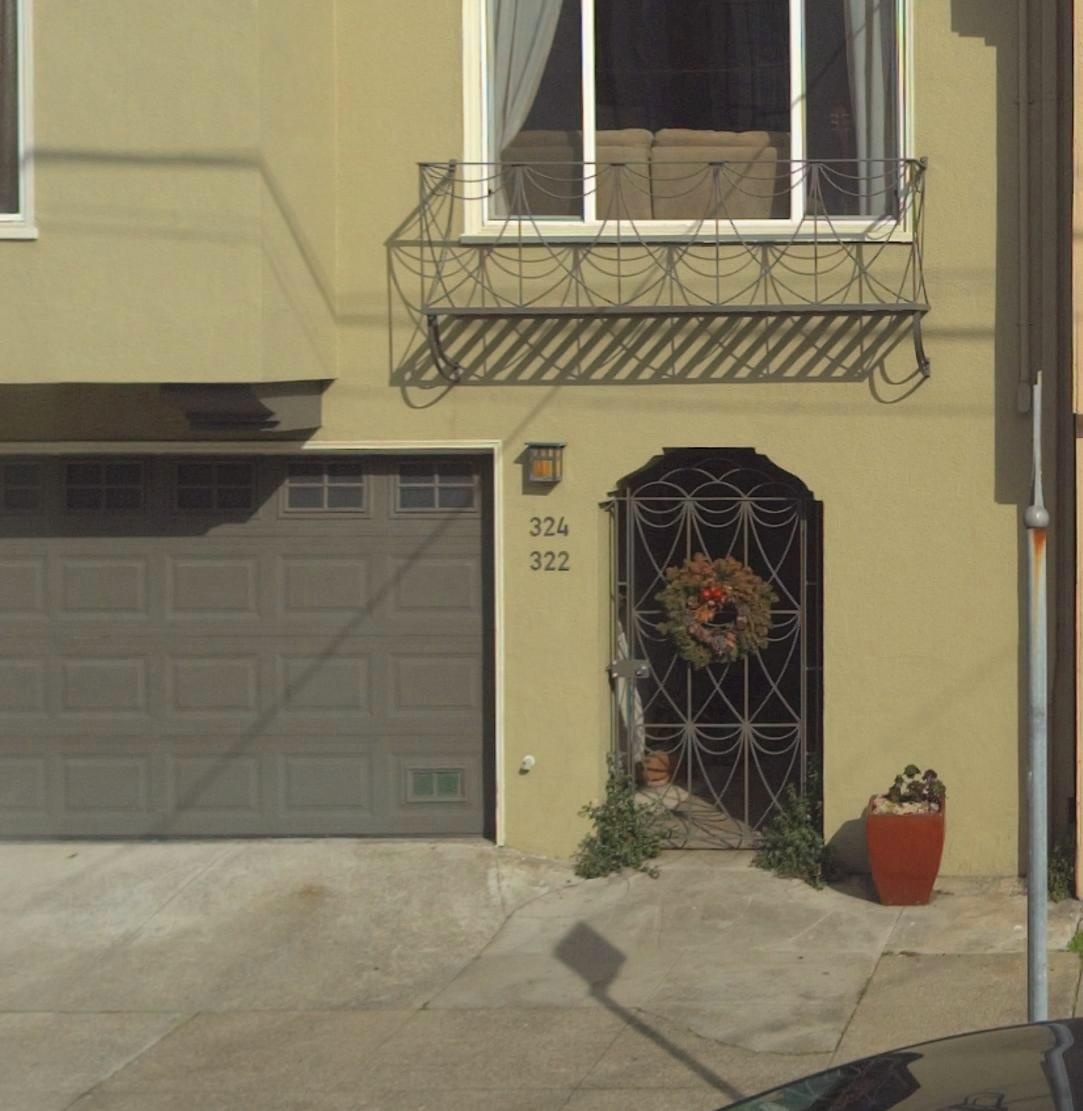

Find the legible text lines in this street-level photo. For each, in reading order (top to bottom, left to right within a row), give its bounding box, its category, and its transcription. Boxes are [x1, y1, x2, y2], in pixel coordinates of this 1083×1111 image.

[528, 514, 570, 538] StreetNumber: 324
[529, 549, 571, 572] StreetNumber: 322